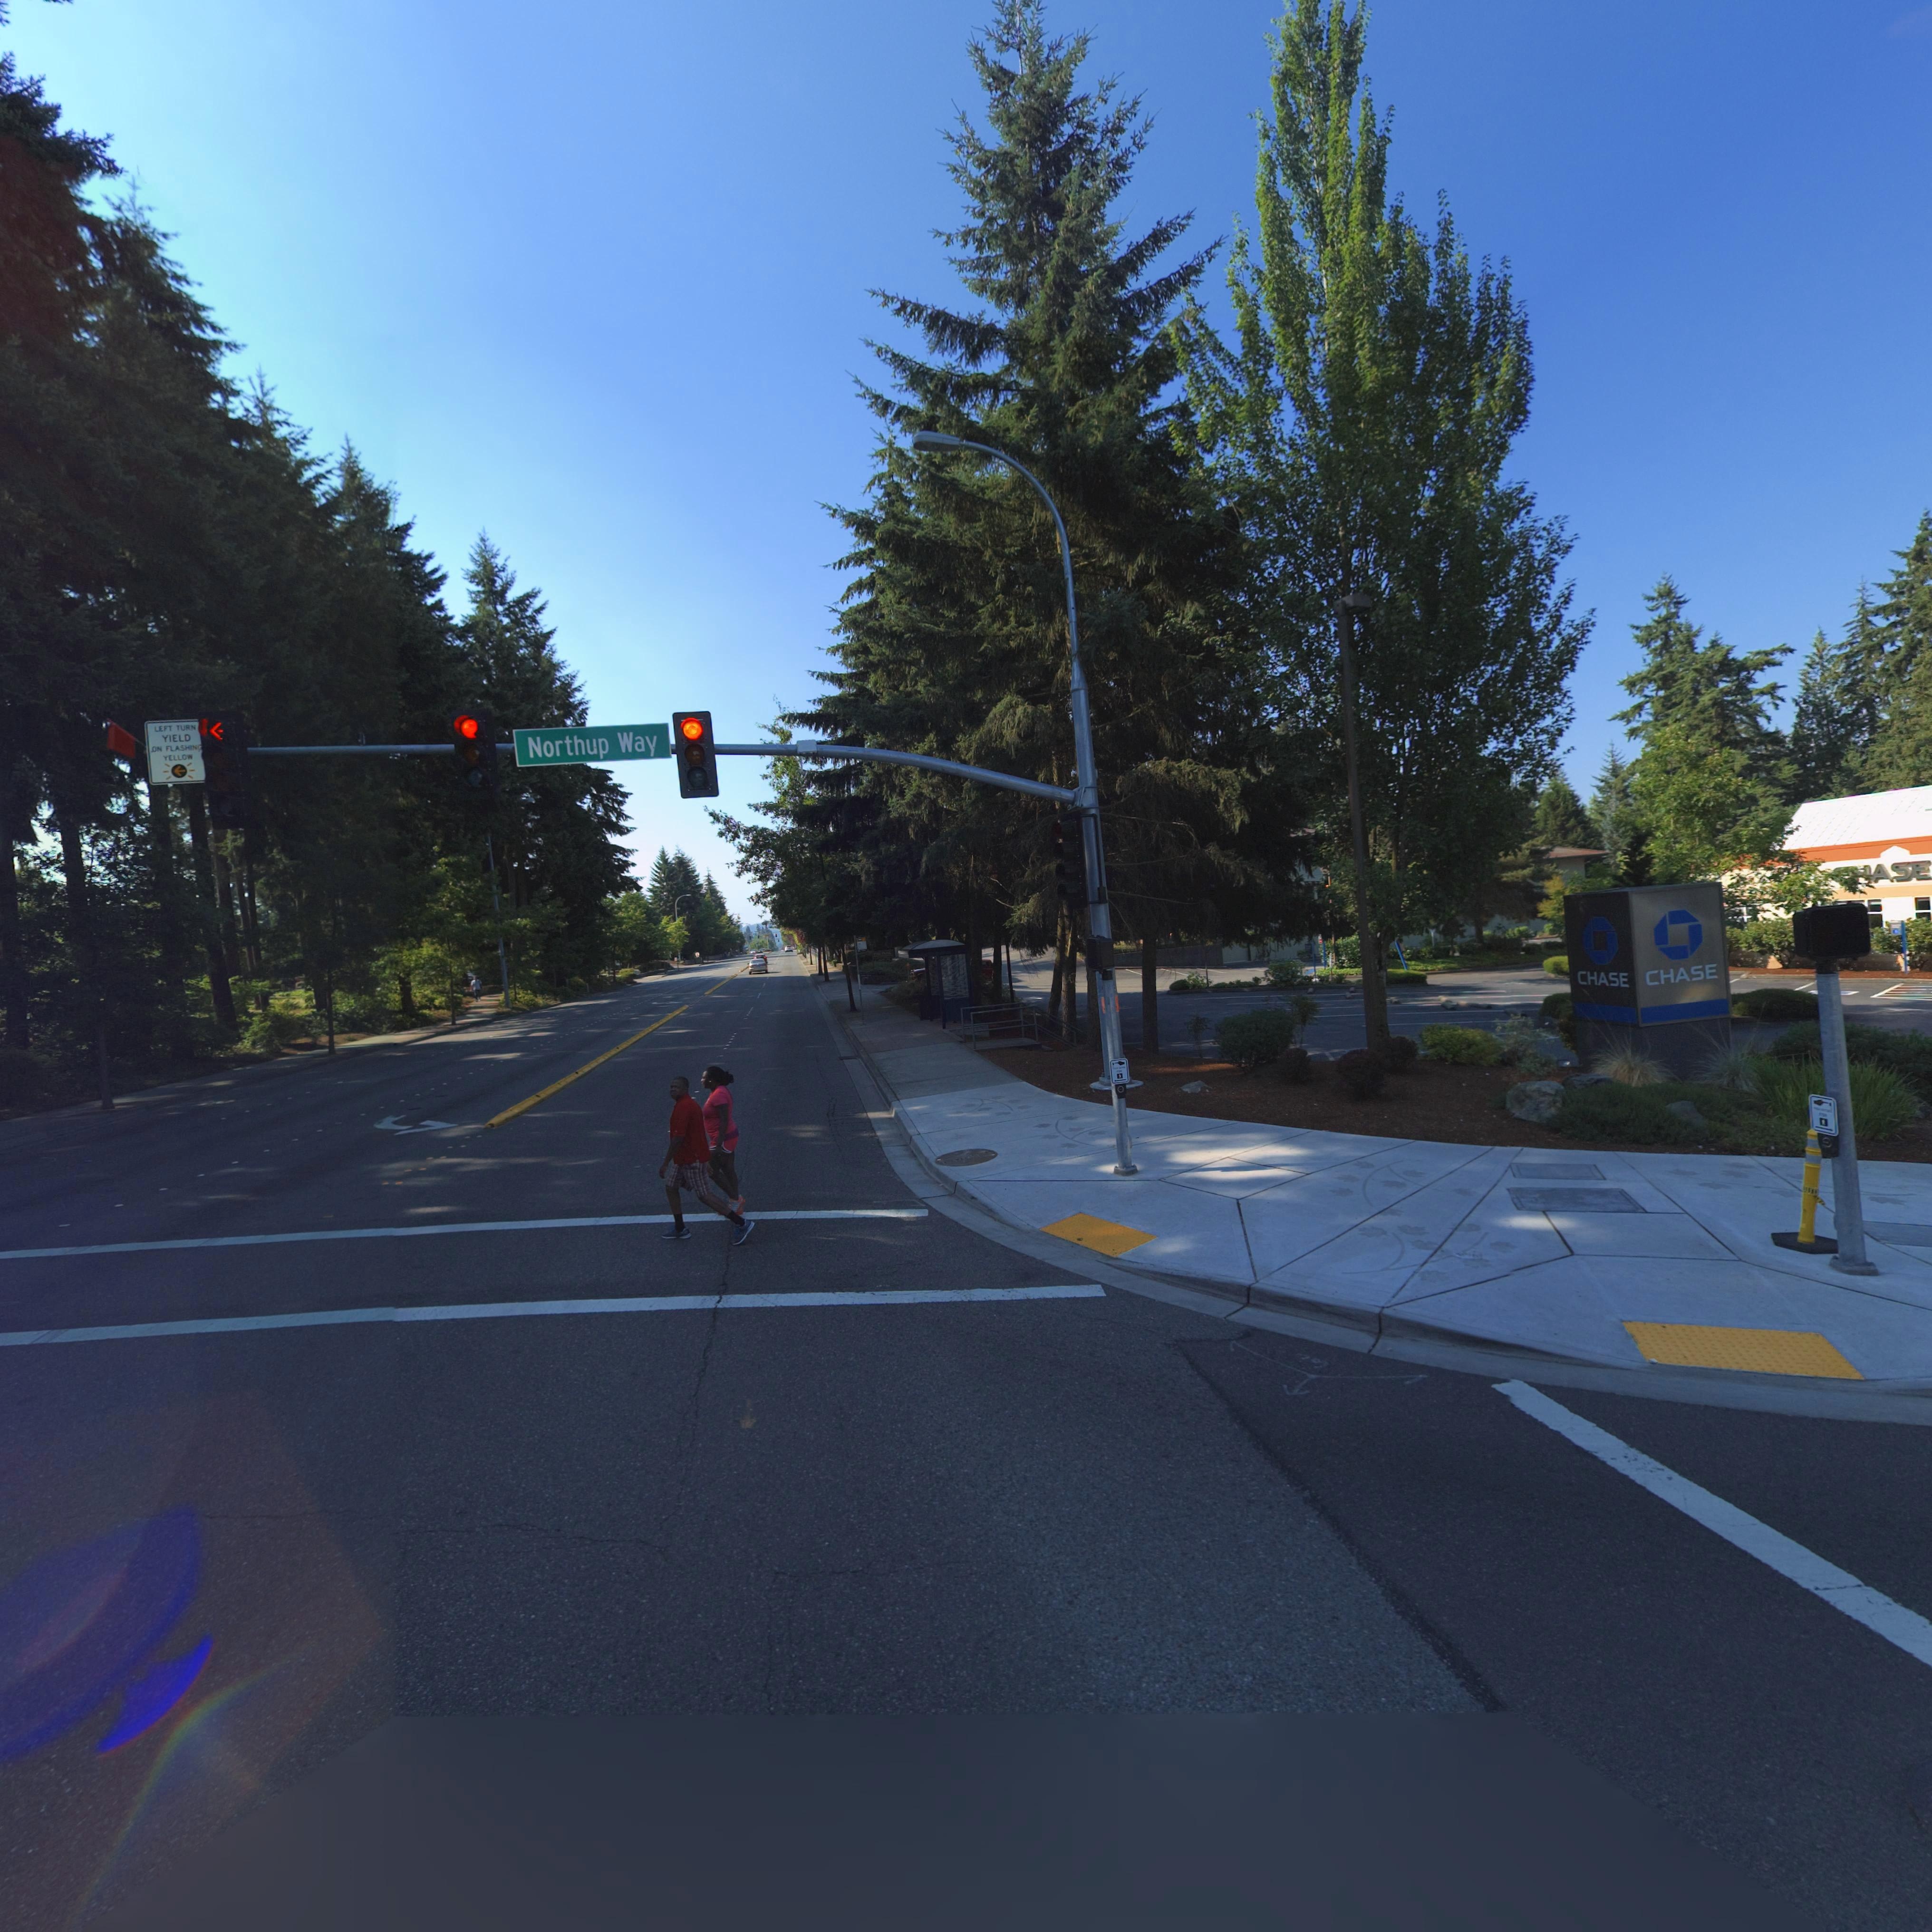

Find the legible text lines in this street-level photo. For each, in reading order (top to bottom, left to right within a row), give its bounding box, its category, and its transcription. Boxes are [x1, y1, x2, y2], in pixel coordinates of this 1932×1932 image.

[526, 730, 658, 761] StreetName: Northup Way
[1872, 861, 1930, 882] BusinessName: ASE
[1577, 971, 1628, 987] BusinessName: CHASE
[1645, 964, 1718, 985] BusinessName: CHASE